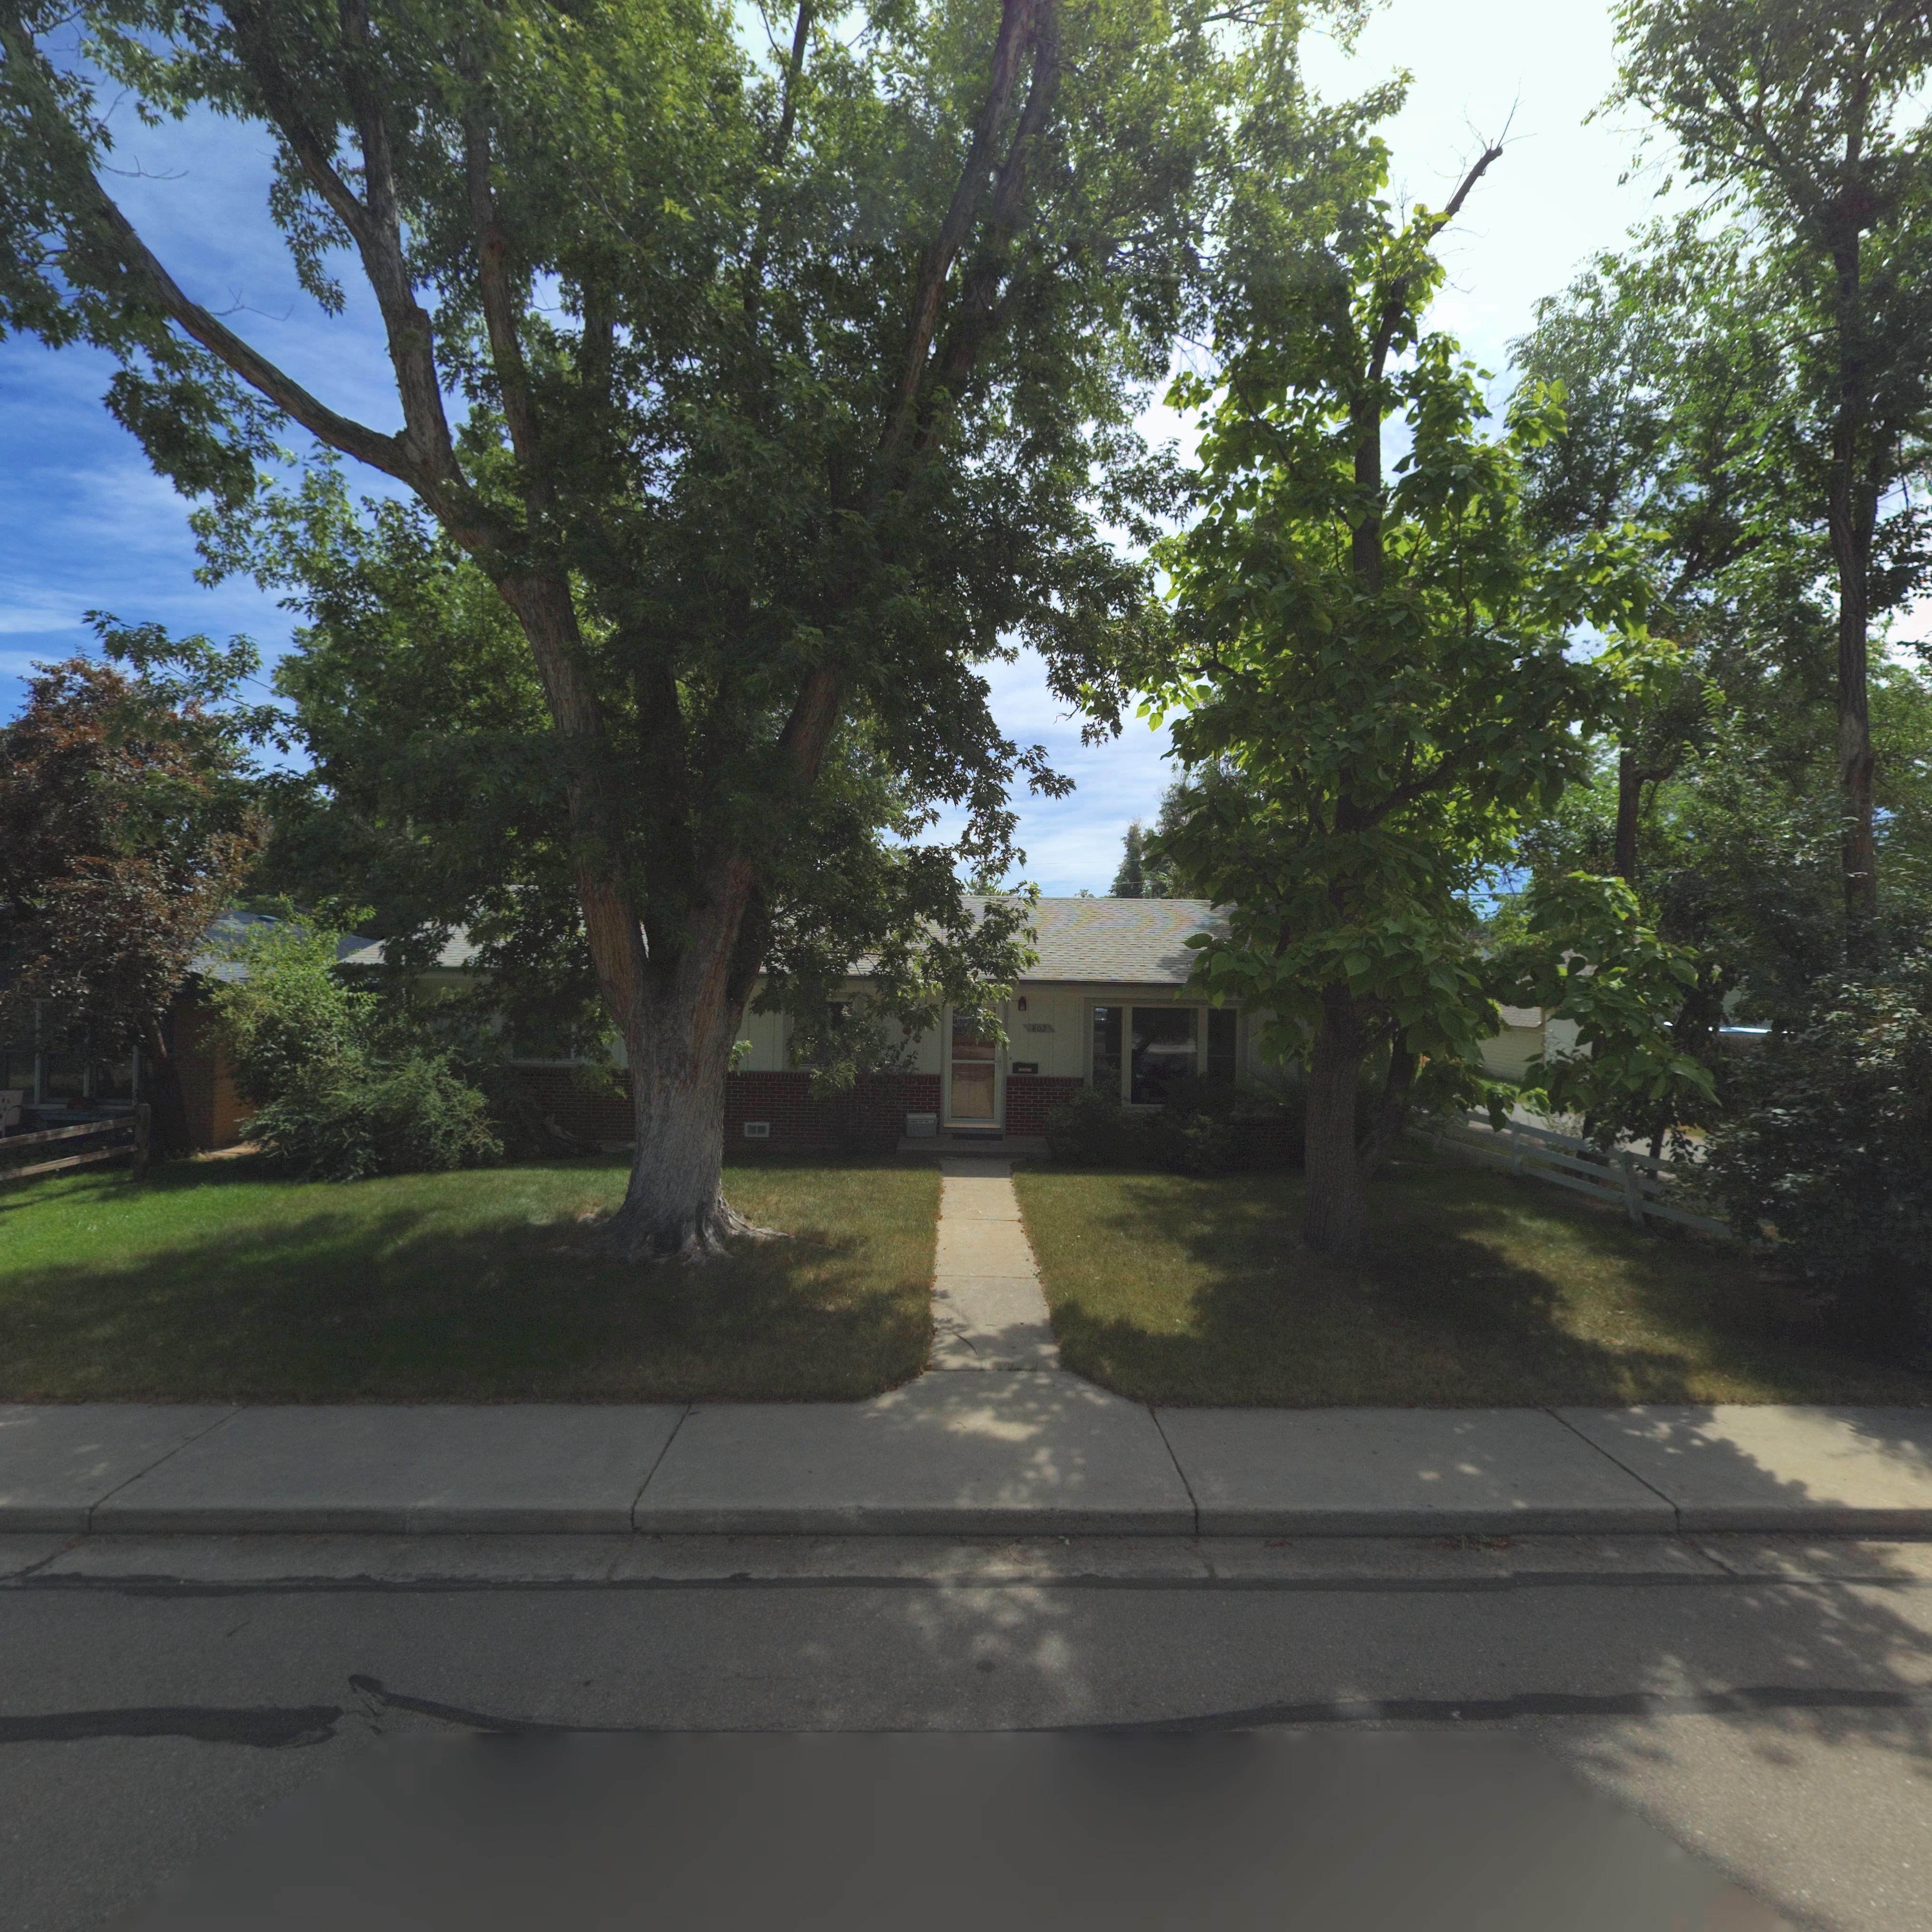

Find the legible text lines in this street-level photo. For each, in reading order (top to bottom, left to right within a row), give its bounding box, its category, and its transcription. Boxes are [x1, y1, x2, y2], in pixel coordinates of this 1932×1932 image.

[1031, 1024, 1046, 1033] StreetNumber: 802